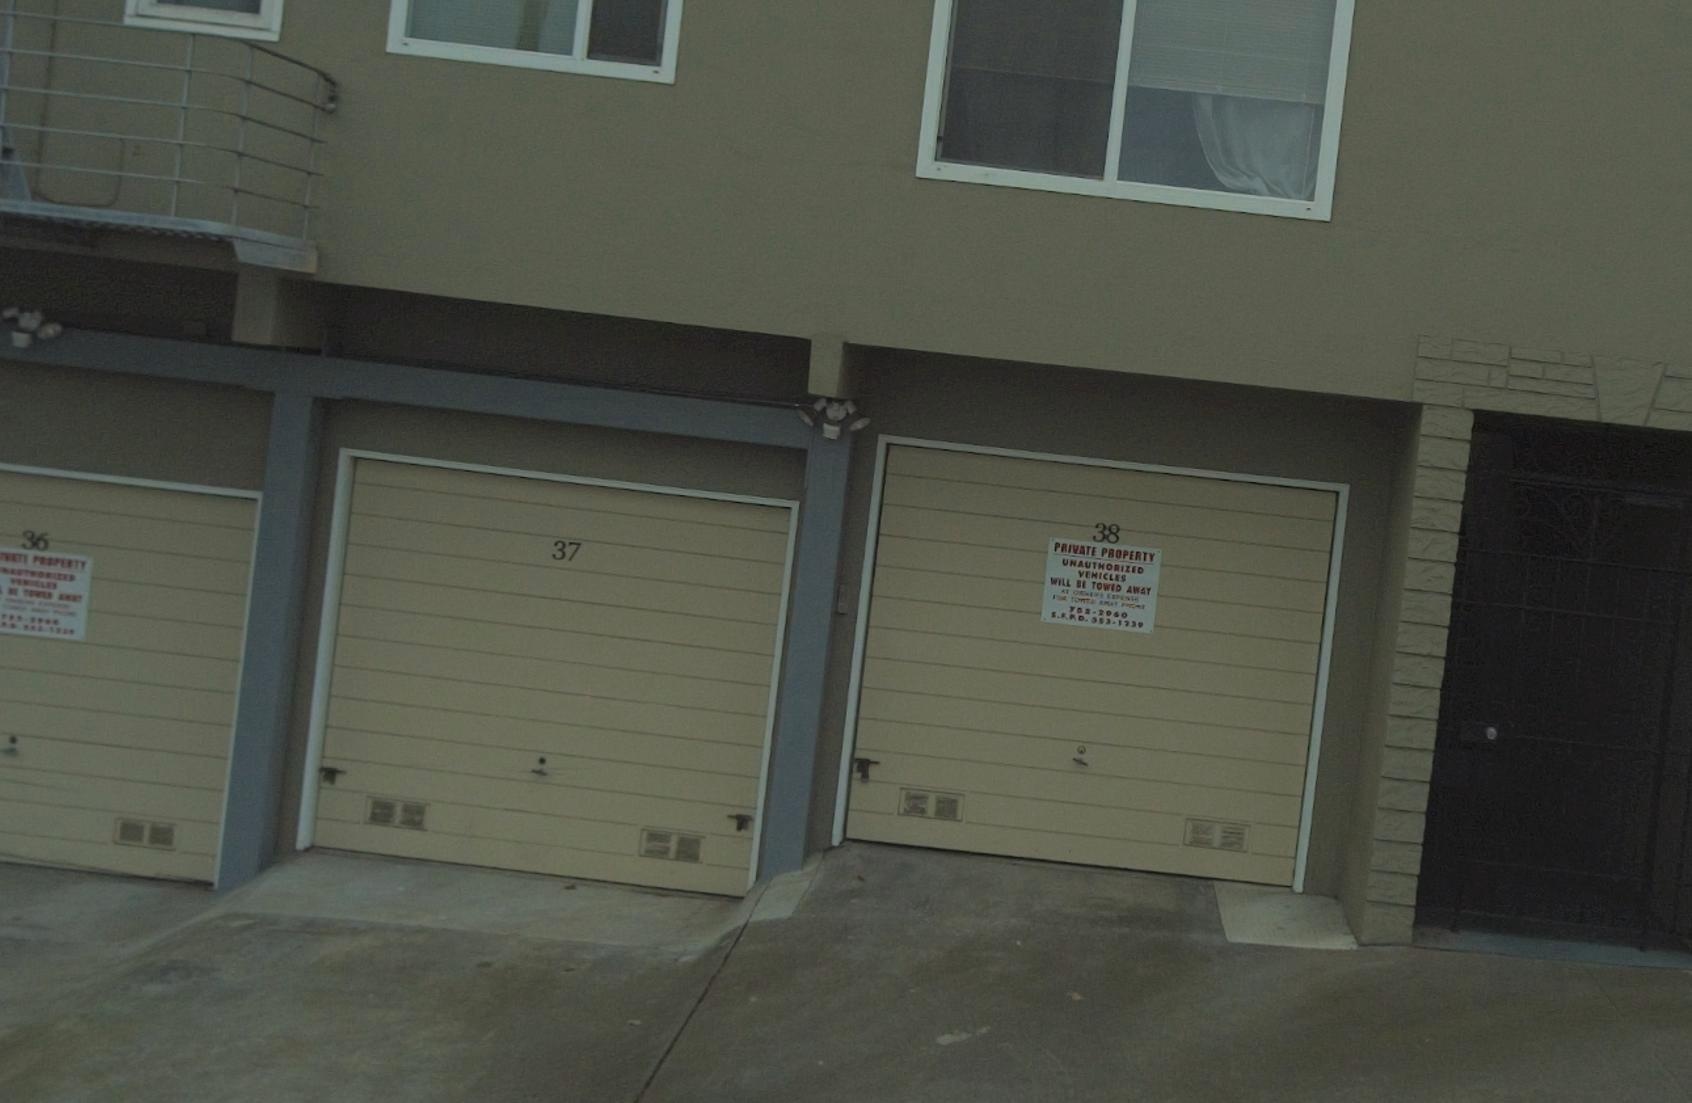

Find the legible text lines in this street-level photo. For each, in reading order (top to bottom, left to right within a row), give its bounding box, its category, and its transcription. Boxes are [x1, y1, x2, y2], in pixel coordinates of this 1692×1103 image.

[18, 527, 53, 554] StreetNumber: 36
[1090, 521, 1122, 544] StreetNumber: 38
[547, 538, 584, 563] StreetNumber: 37
[1053, 540, 1157, 564] None: PRIVATE PROPERTY
[8, 575, 59, 591] None: VEH*CLES
[0, 564, 77, 583] None: *NAUTHORIZED
[6, 586, 84, 604] None: BE TOWED AWAY
[30, 554, 89, 573] None: PROPERTY
[1049, 575, 1153, 597] None: WILL BE TOWED AWAY
[1059, 556, 1145, 575] None: UNAUTHORIZED
[1077, 568, 1128, 584] None: VEHICLES
[1050, 609, 1089, 623] None: S.F.P.D.
[1067, 604, 1129, 620] None: 7*2*2060
[1090, 615, 1145, 630] None: 5*3-1739